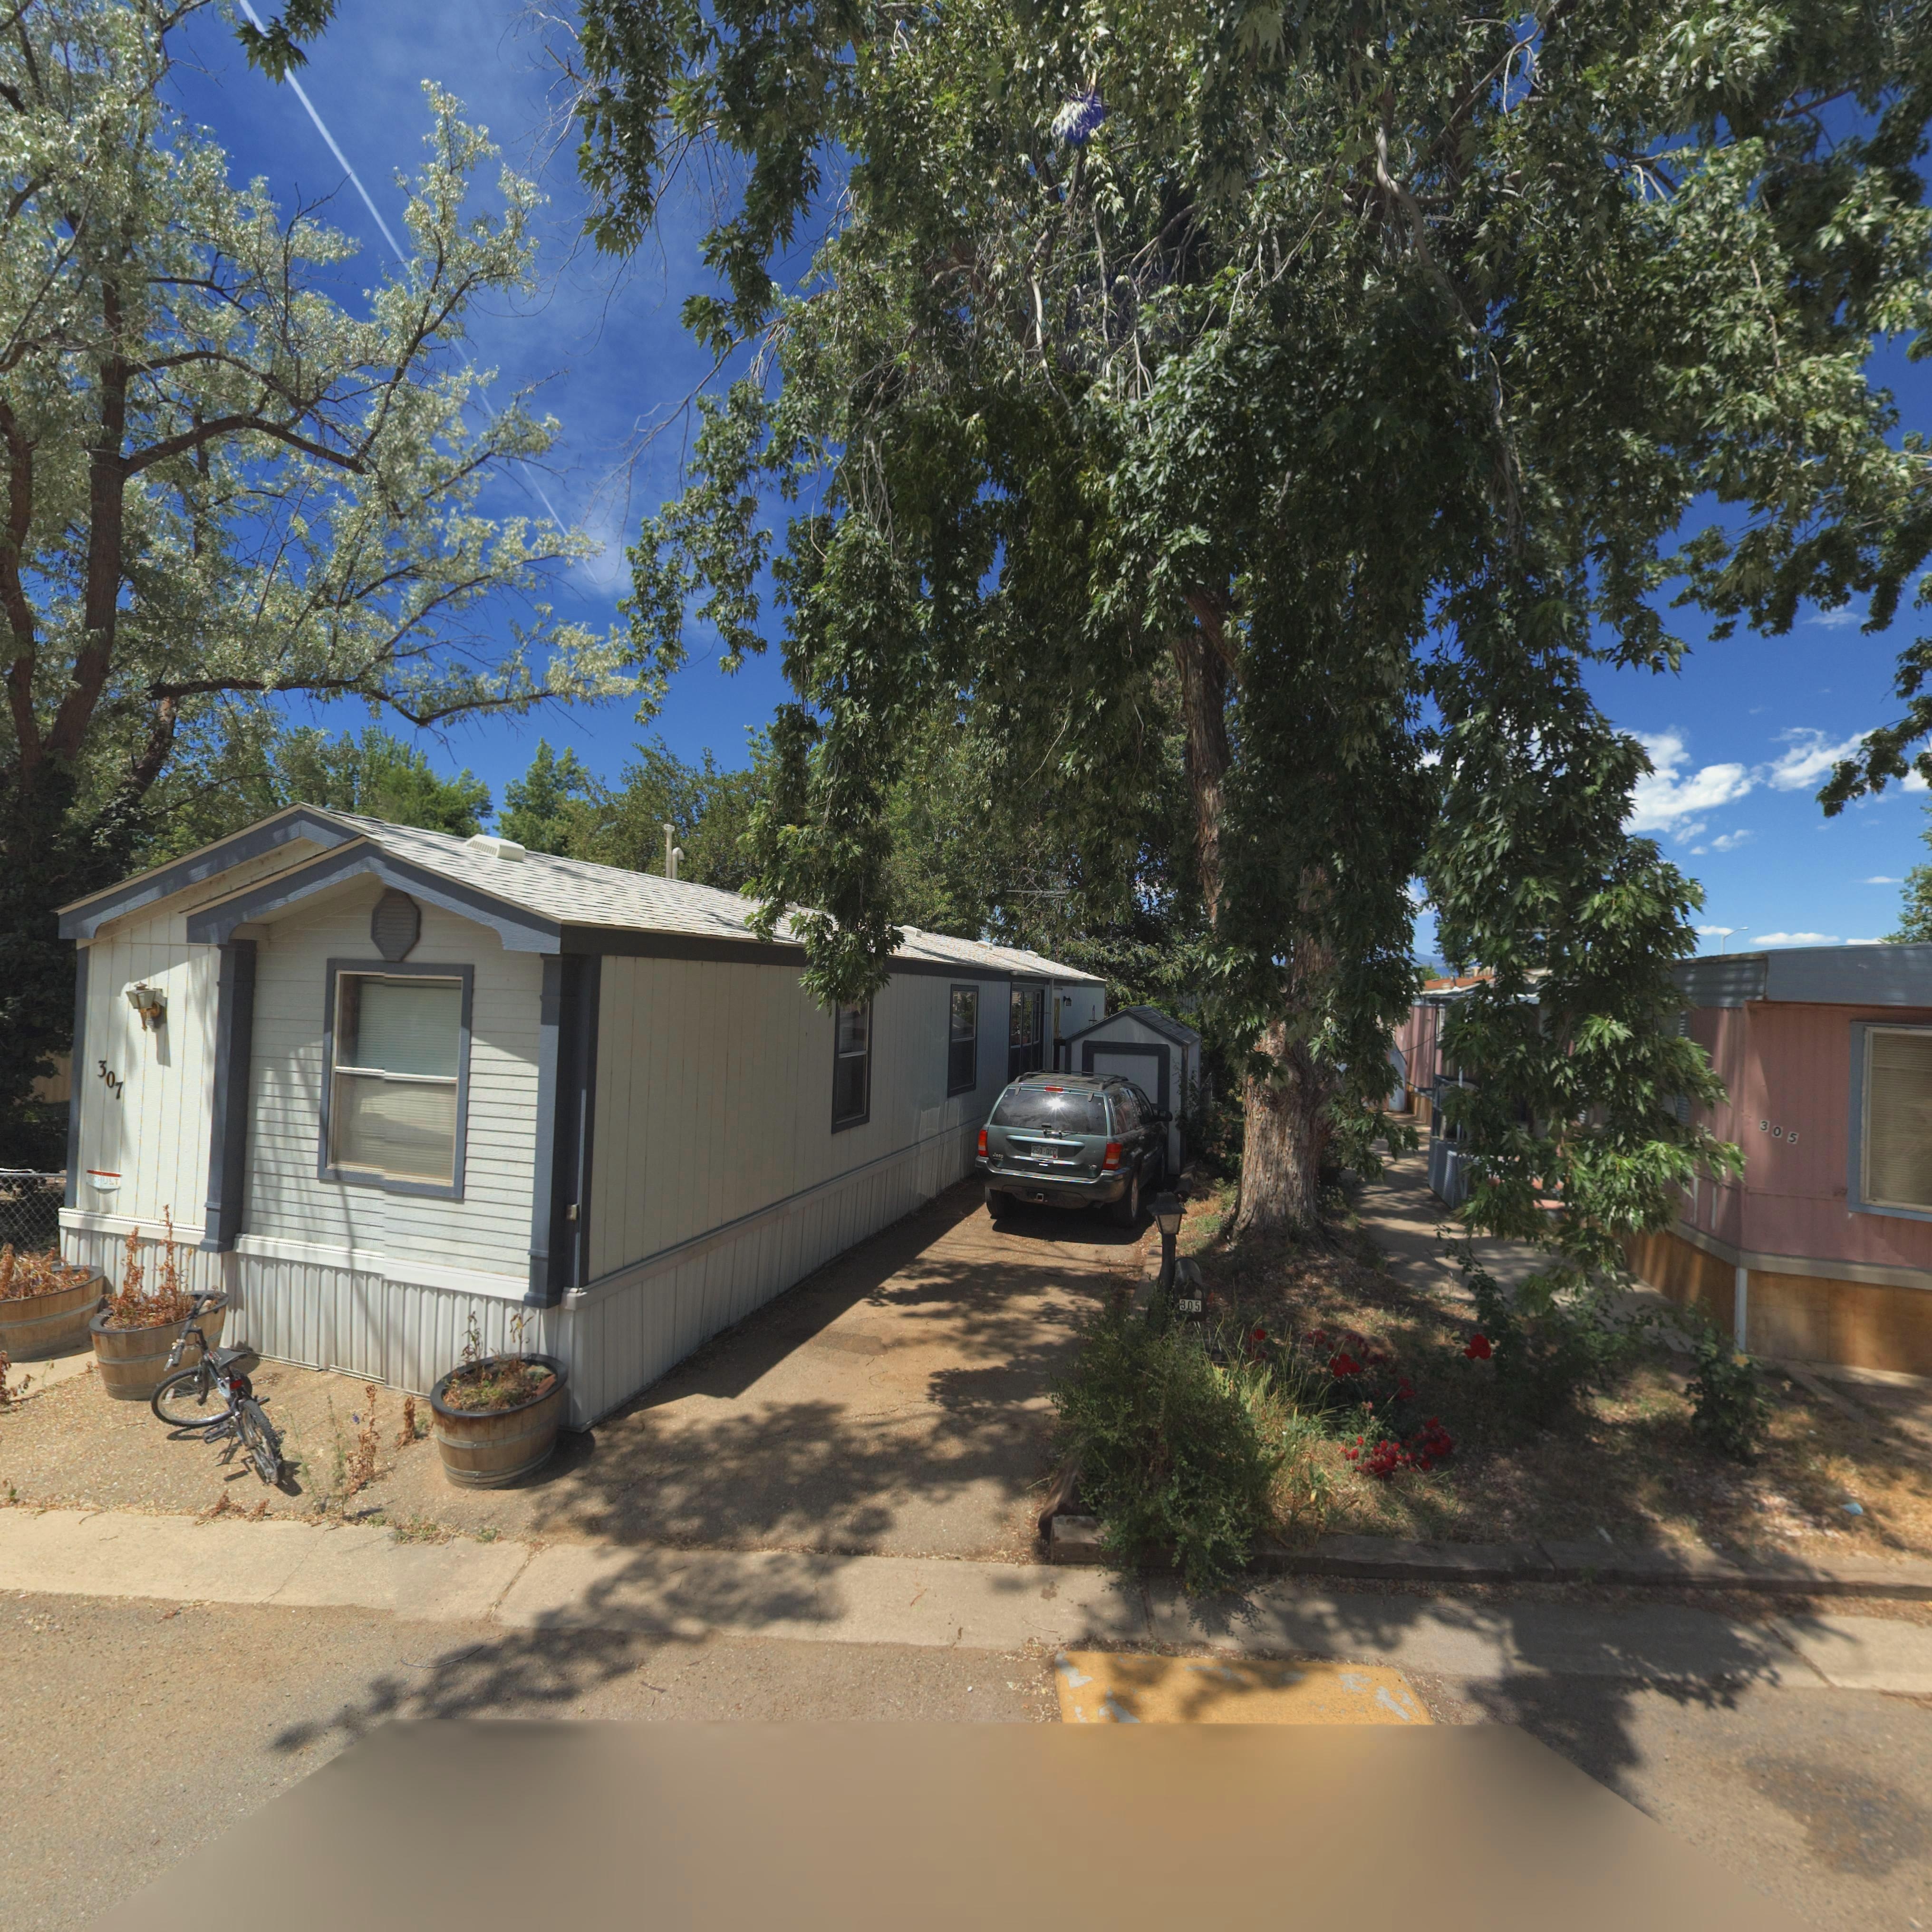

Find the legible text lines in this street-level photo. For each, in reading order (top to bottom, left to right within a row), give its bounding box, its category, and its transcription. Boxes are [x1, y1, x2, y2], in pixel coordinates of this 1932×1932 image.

[96, 1059, 124, 1101] StreetNumber: 307
[1759, 1120, 1797, 1143] StreetNumber: 305
[1180, 1299, 1200, 1311] StreetNumber: 305